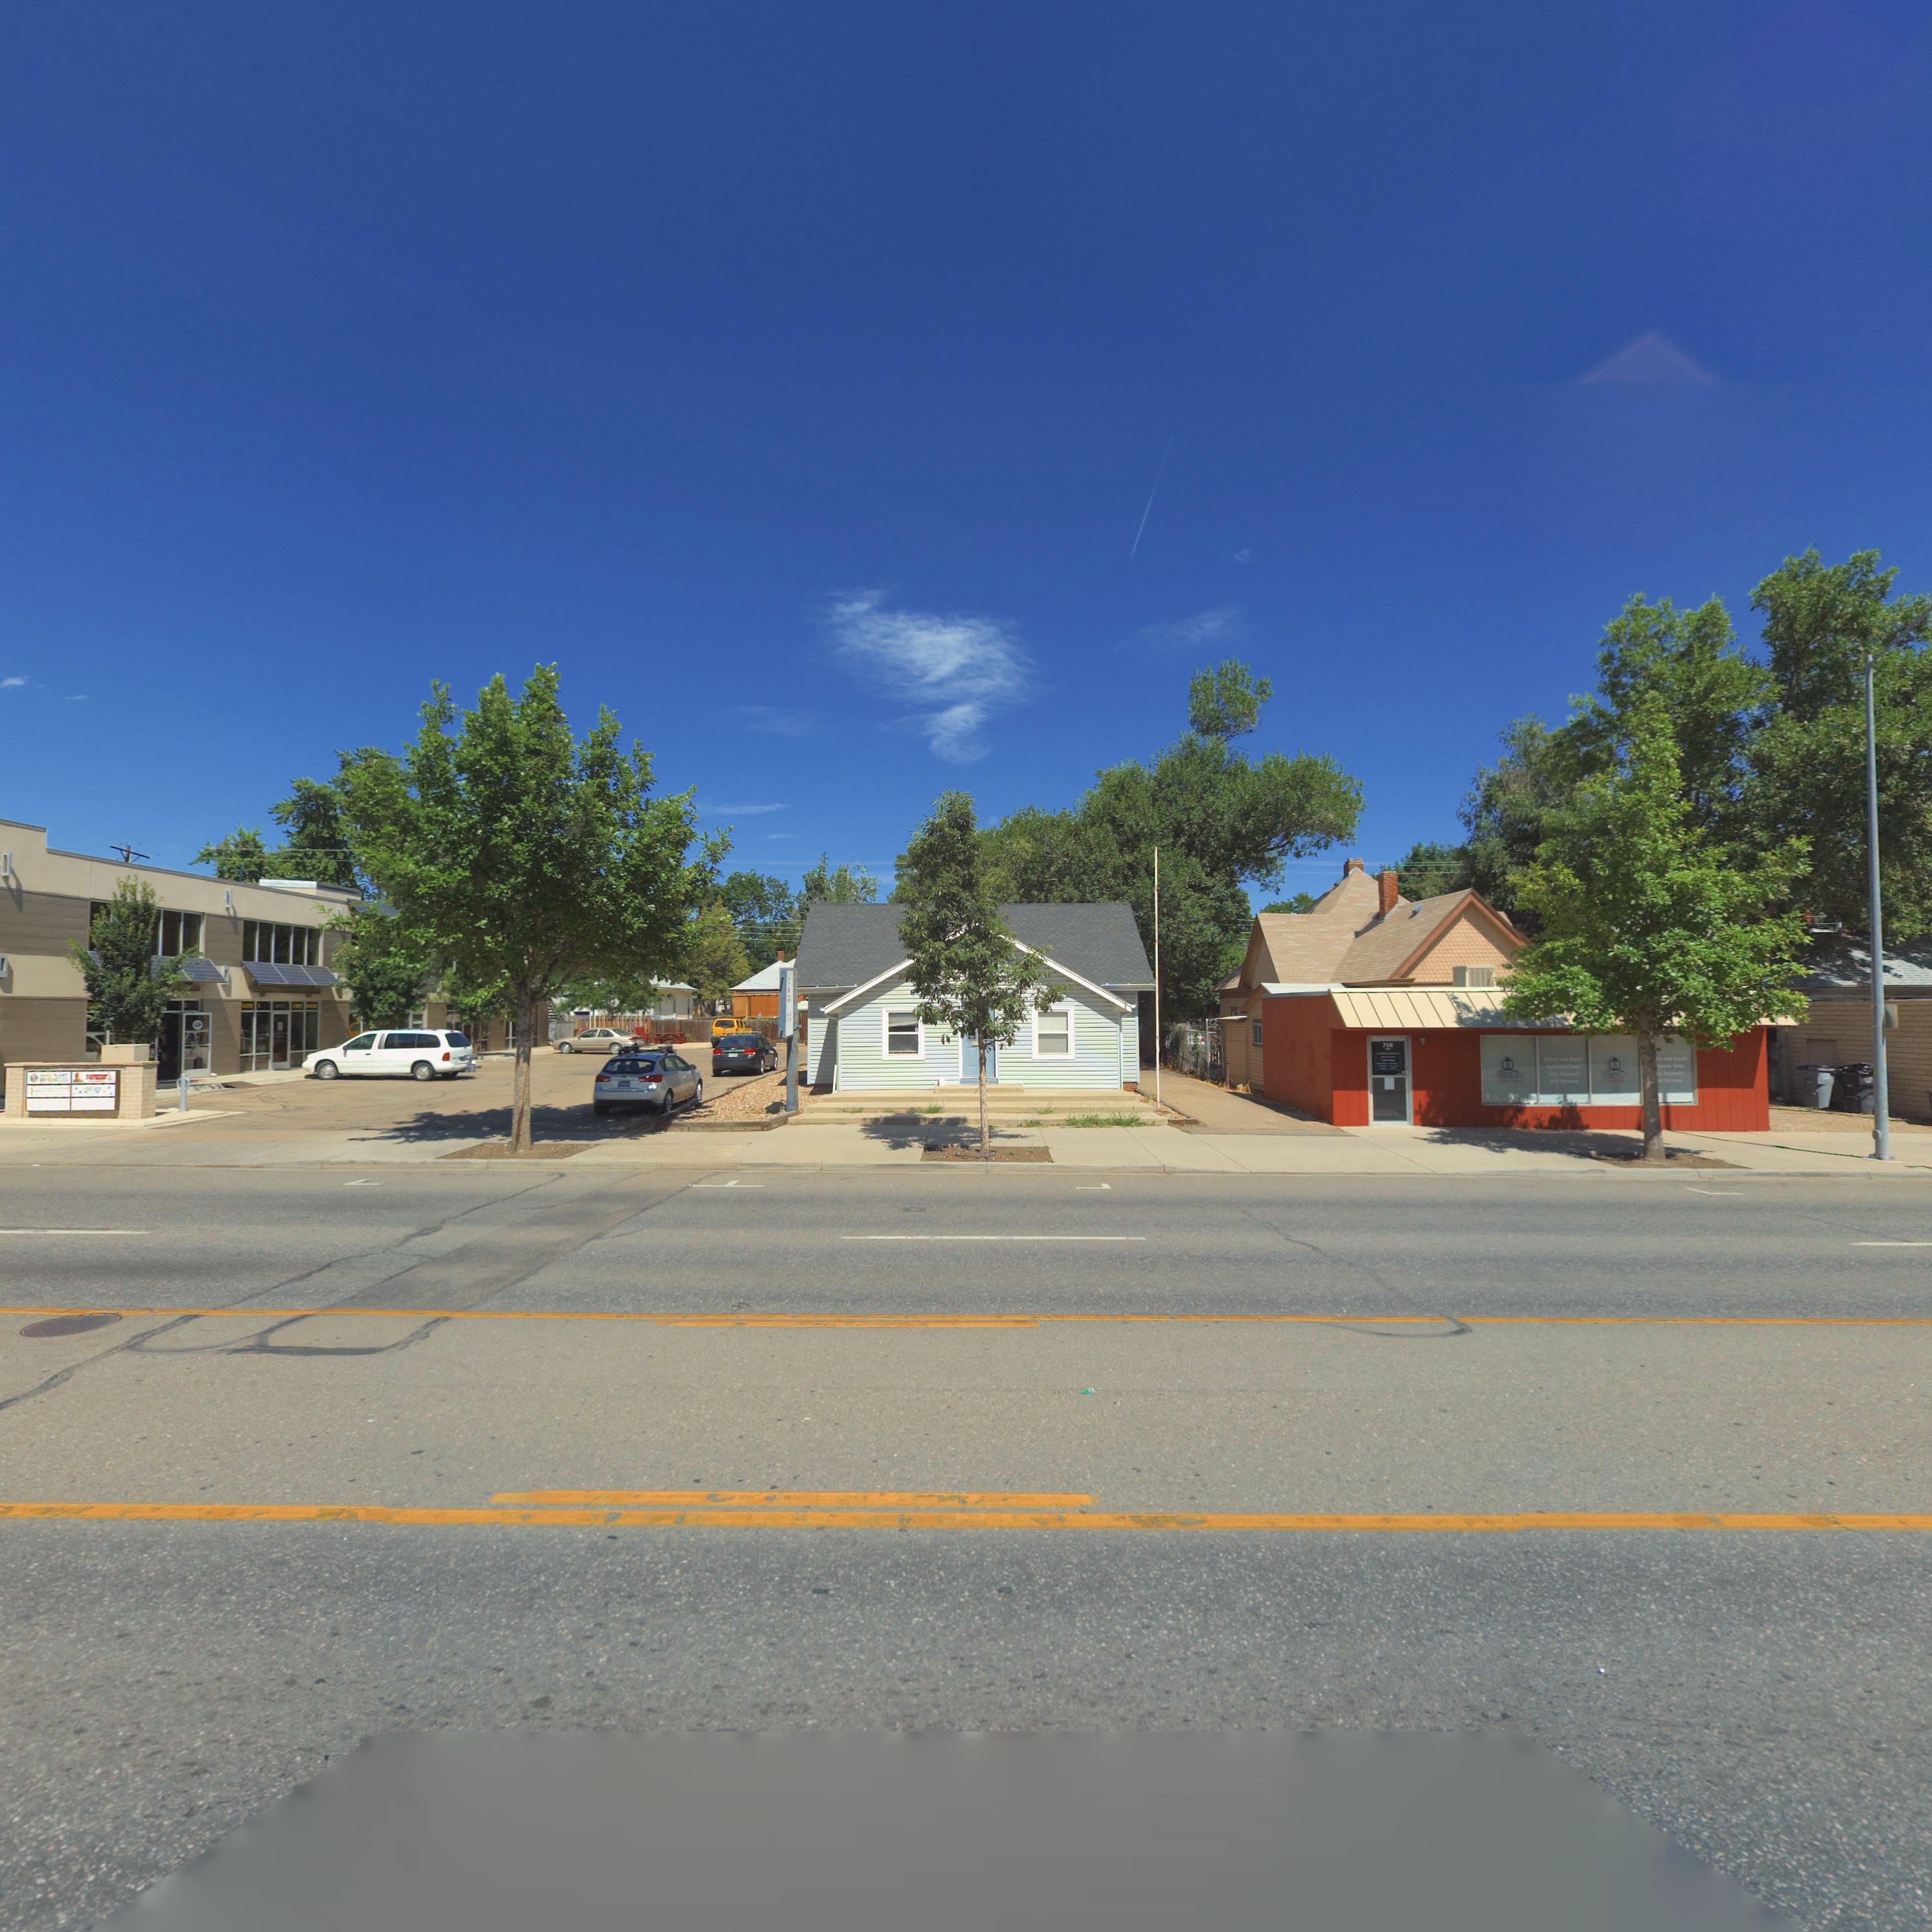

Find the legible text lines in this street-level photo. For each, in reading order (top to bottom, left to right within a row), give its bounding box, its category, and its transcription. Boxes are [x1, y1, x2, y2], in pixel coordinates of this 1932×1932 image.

[1382, 1042, 1393, 1047] StreetNumber: 716
[1497, 1069, 1519, 1078] BusinessName: CITIZENS
[1604, 1069, 1626, 1078] BusinessName: CITIZENS
[39, 1077, 68, 1082] BusinessName: *****CLES